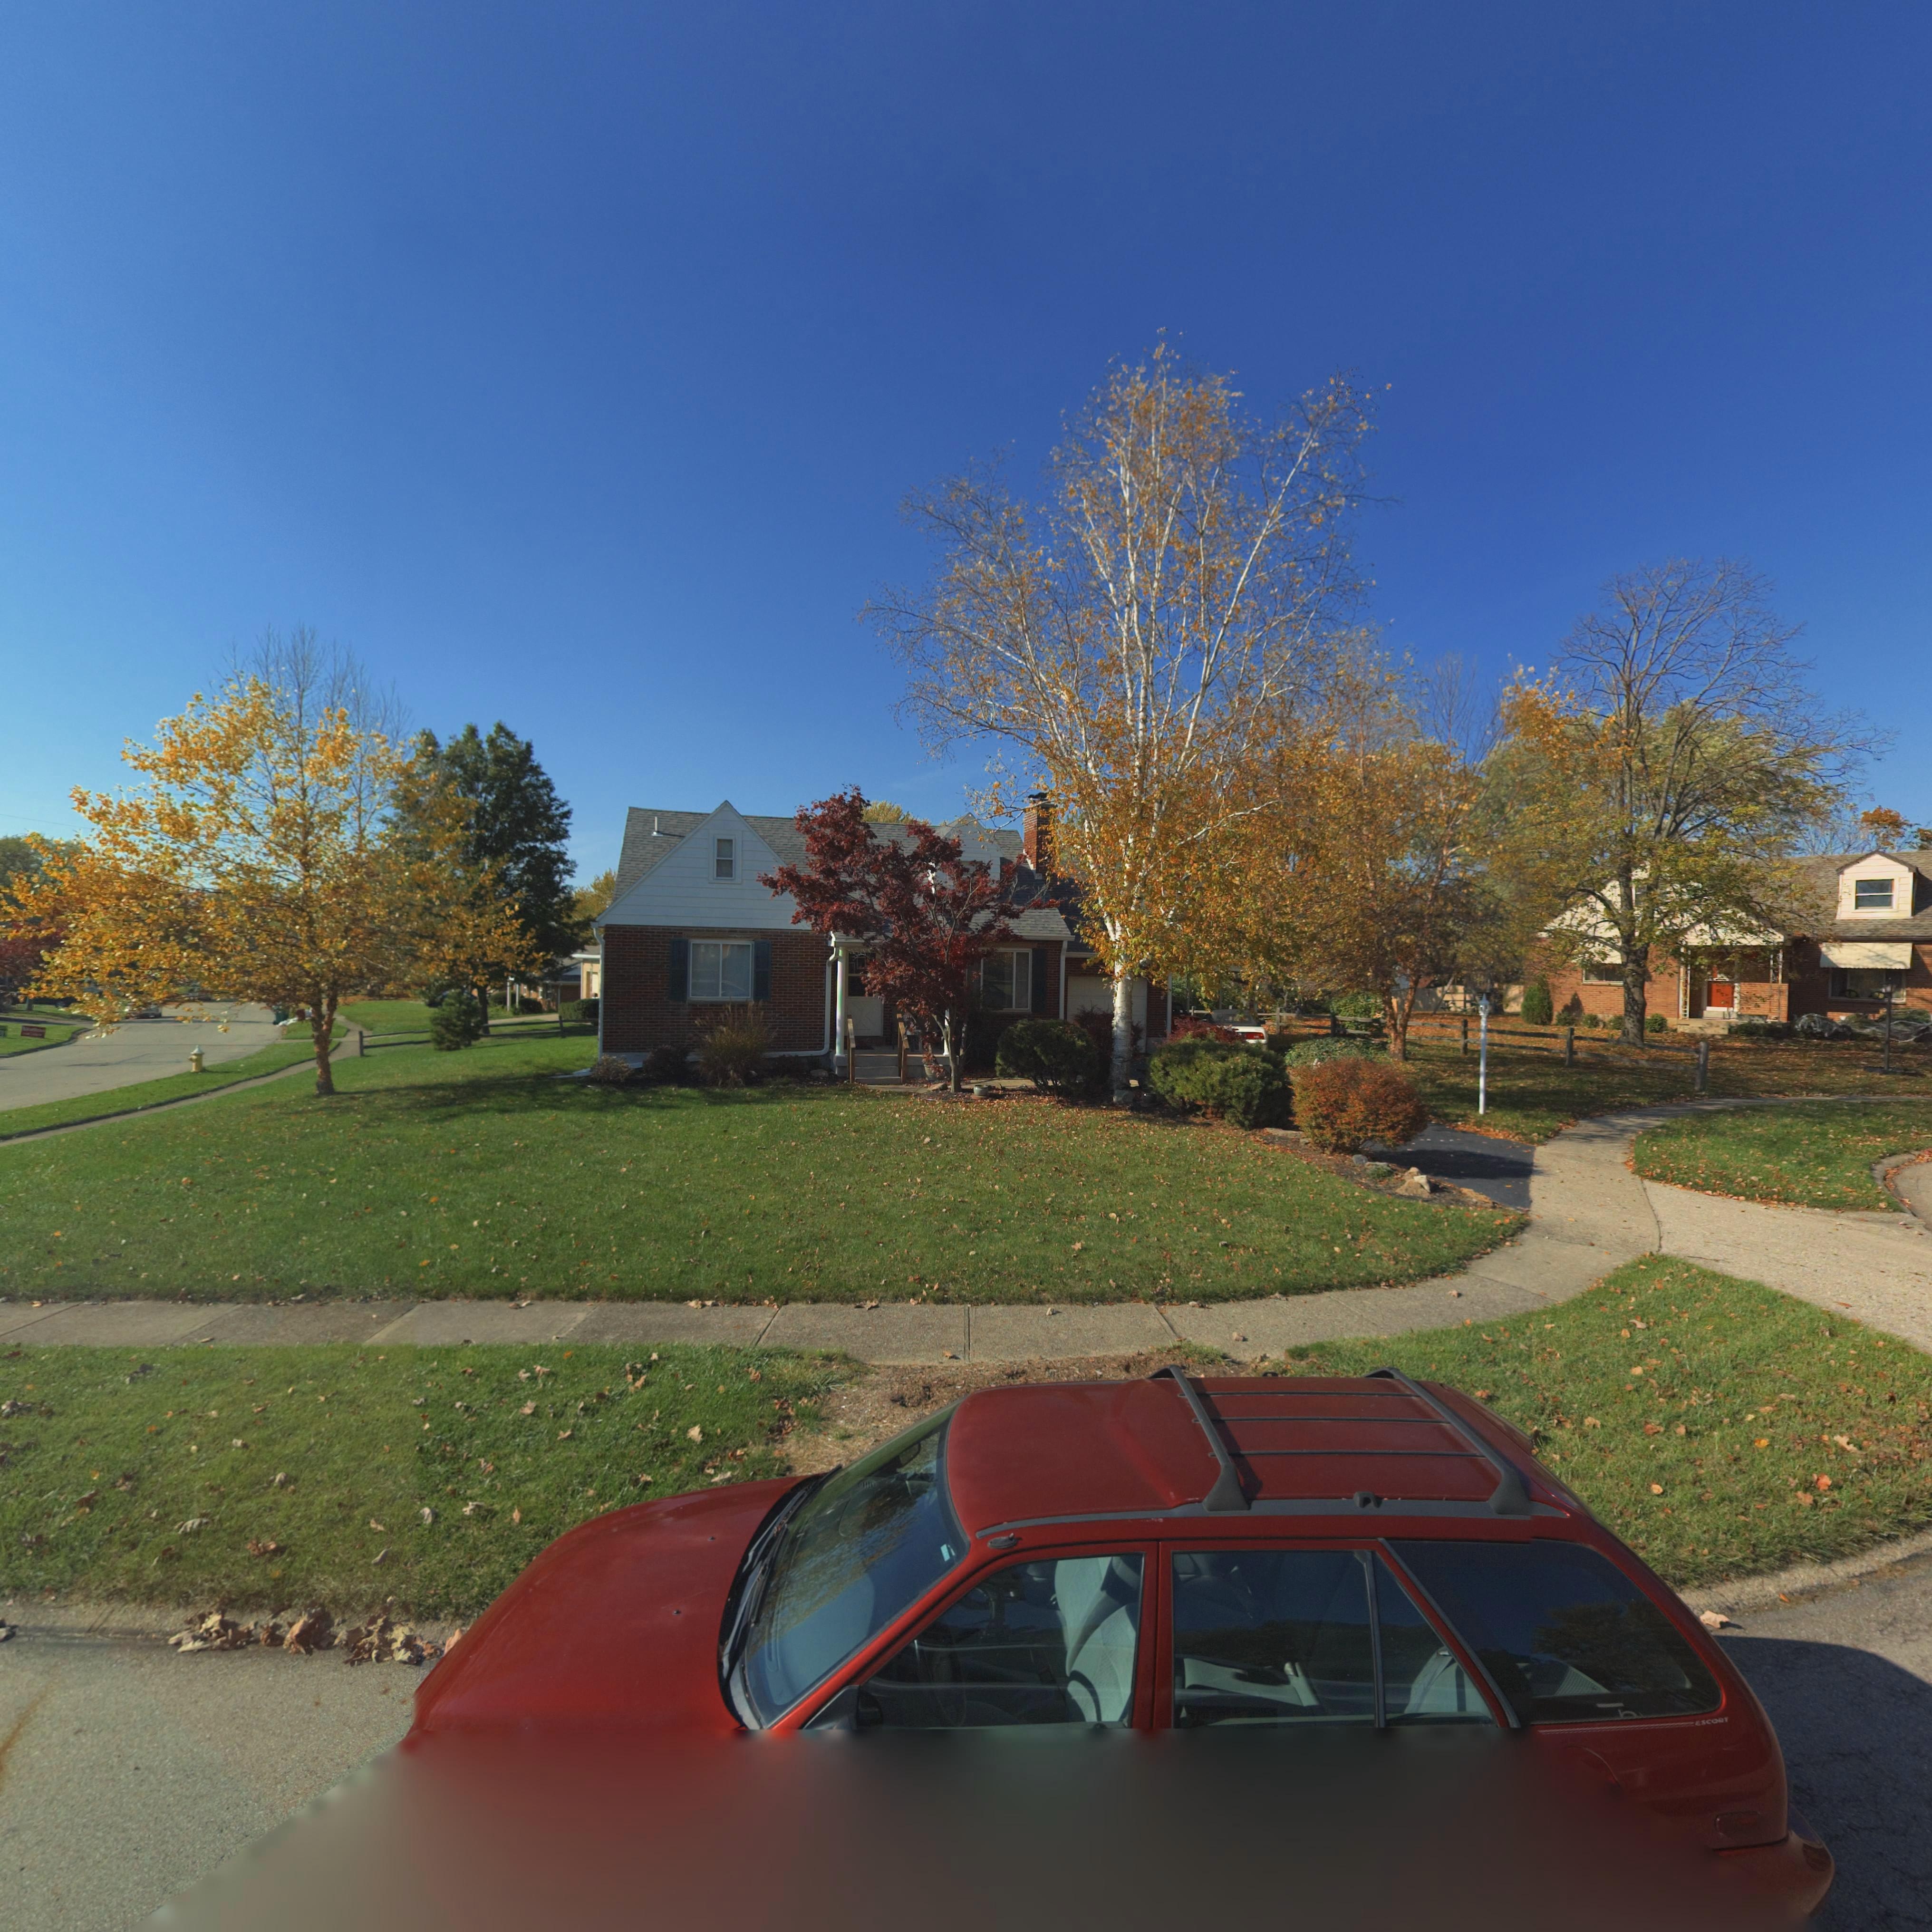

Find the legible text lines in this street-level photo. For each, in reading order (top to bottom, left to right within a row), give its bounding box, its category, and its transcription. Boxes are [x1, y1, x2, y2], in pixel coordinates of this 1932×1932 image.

[1694, 1716, 1729, 1727] None: ESCORT